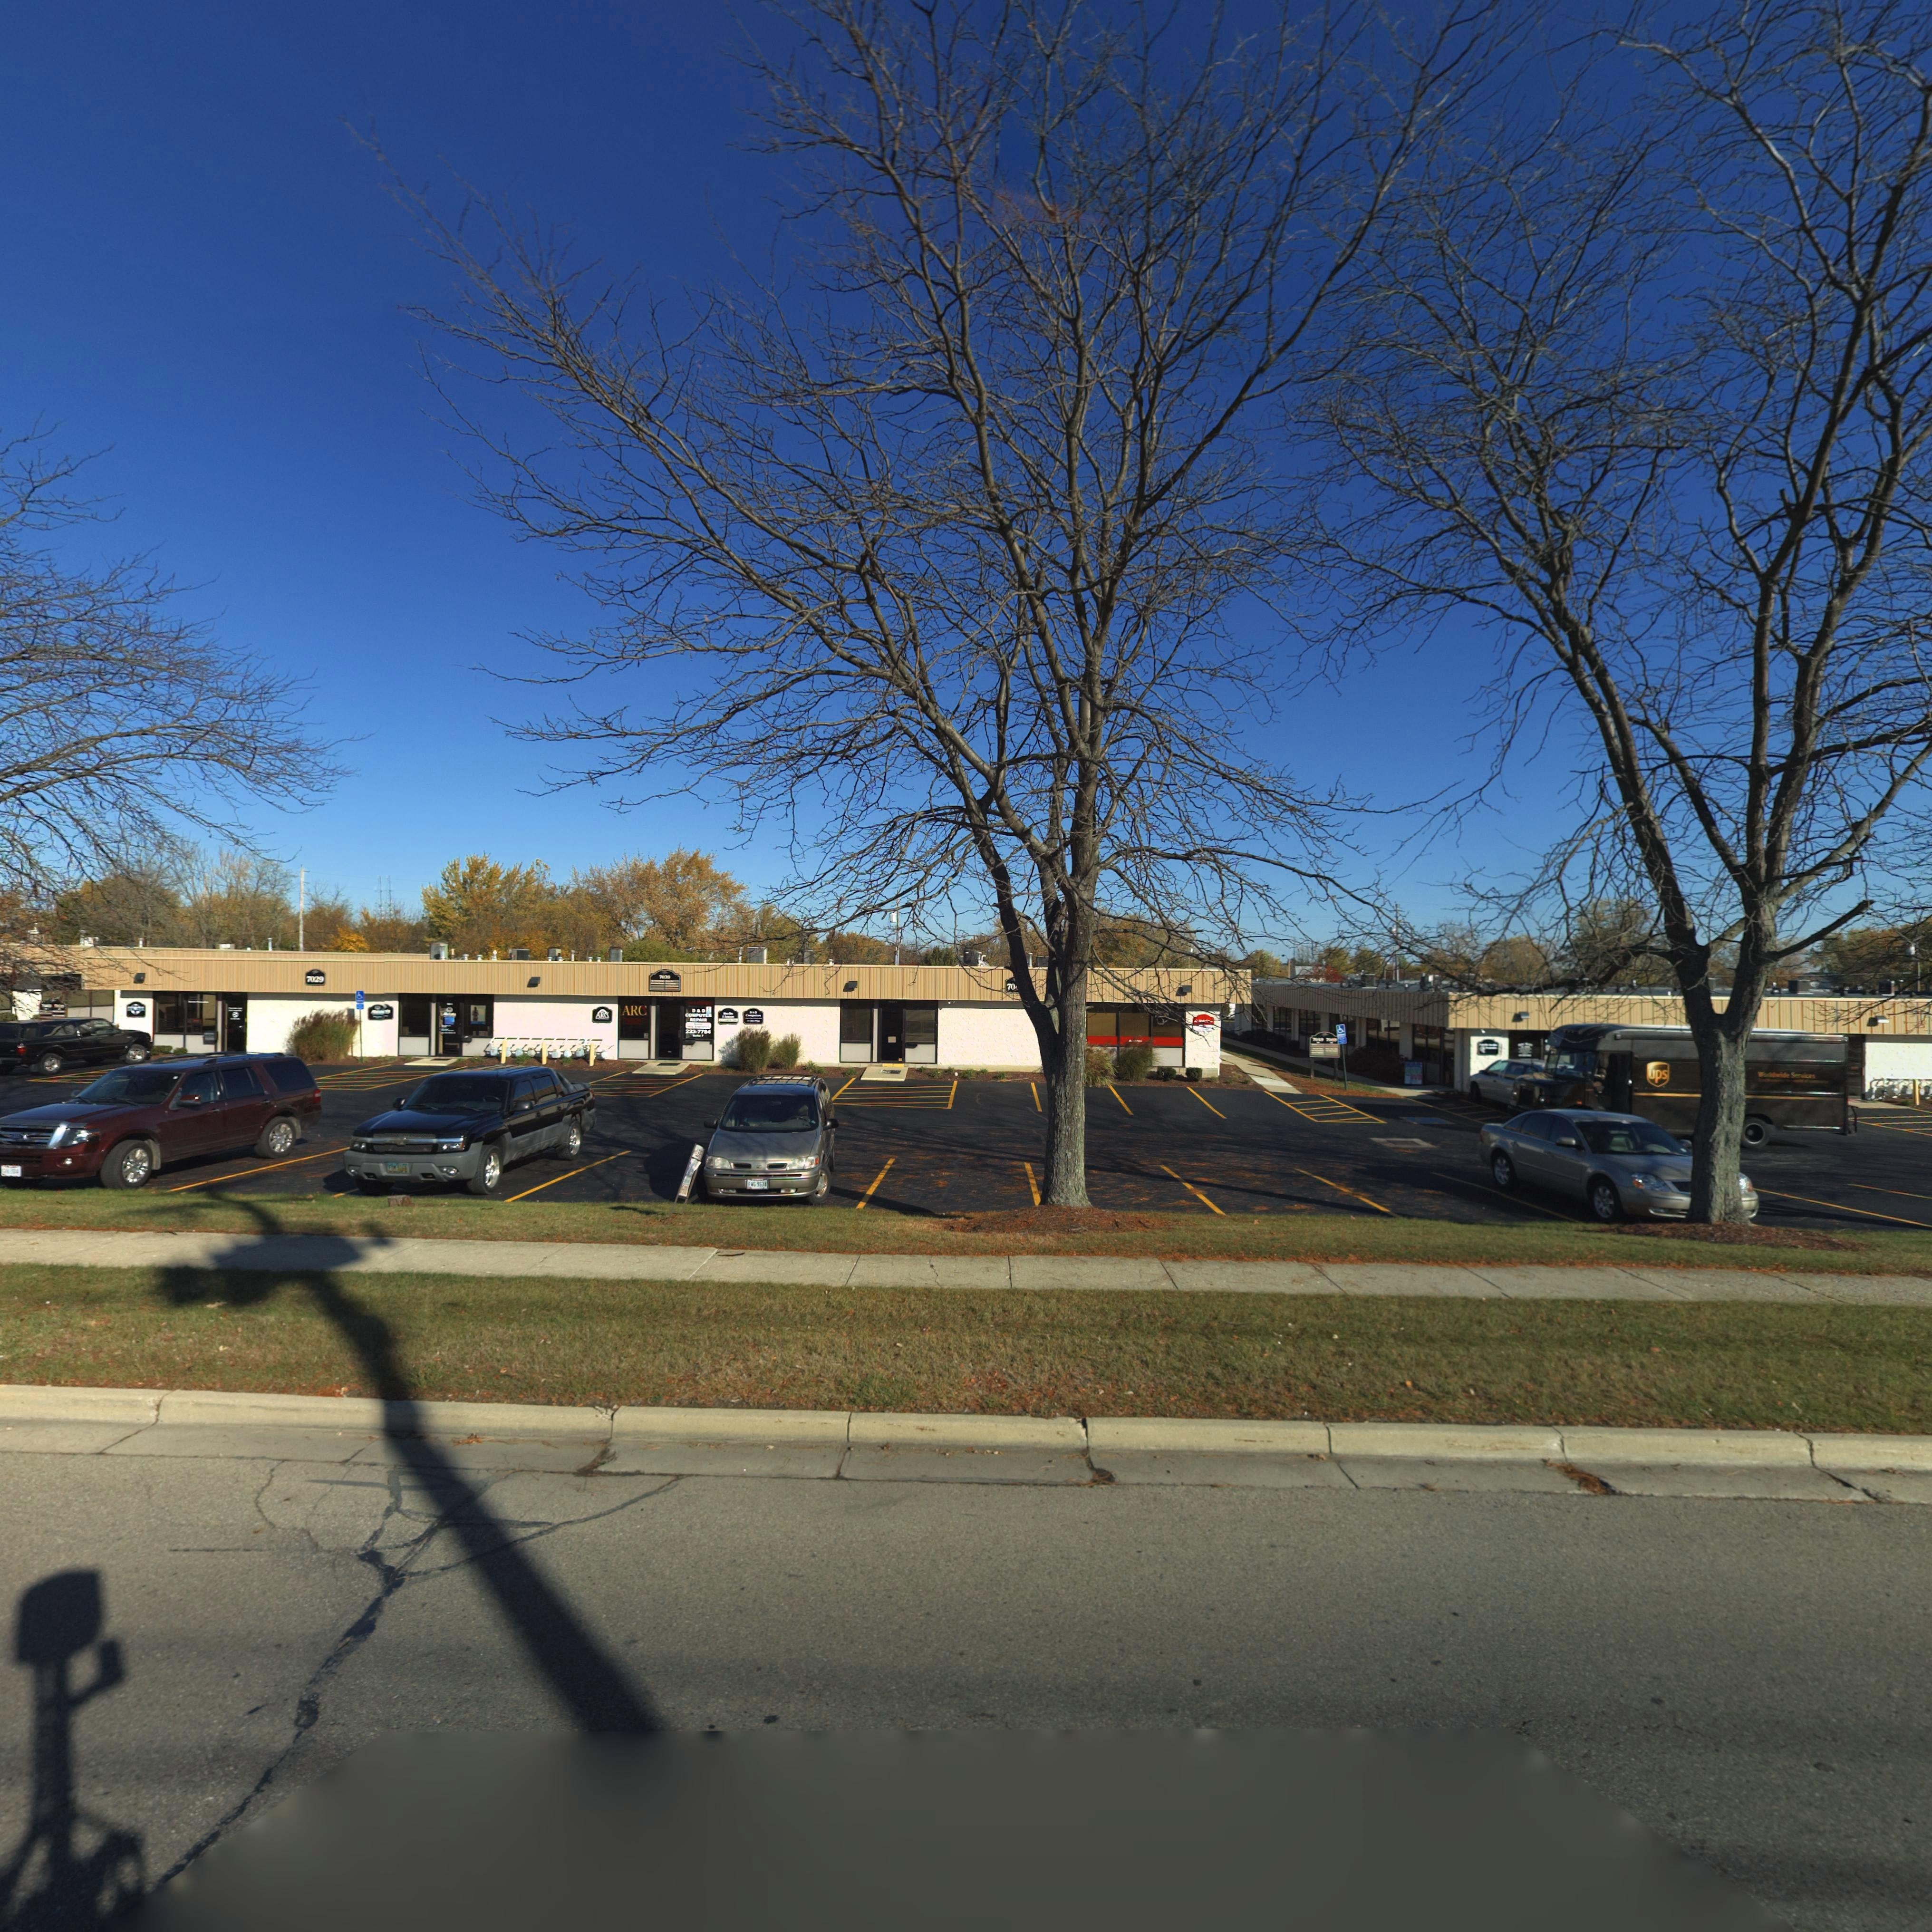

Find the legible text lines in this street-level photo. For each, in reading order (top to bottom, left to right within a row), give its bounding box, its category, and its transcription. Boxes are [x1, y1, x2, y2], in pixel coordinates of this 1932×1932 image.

[305, 975, 325, 984] StreetNumber: 7029
[658, 974, 671, 980] StreetNumber: 7***
[1006, 983, 1017, 991] StreetNumber: 70
[620, 1005, 647, 1016] None: ARC
[691, 1008, 706, 1013] BusinessName: D & D
[594, 1012, 610, 1019] None: AR*
[684, 1013, 713, 1018] BusinessName: COMPUTER
[689, 1017, 708, 1022] BusinessName: REPAIR